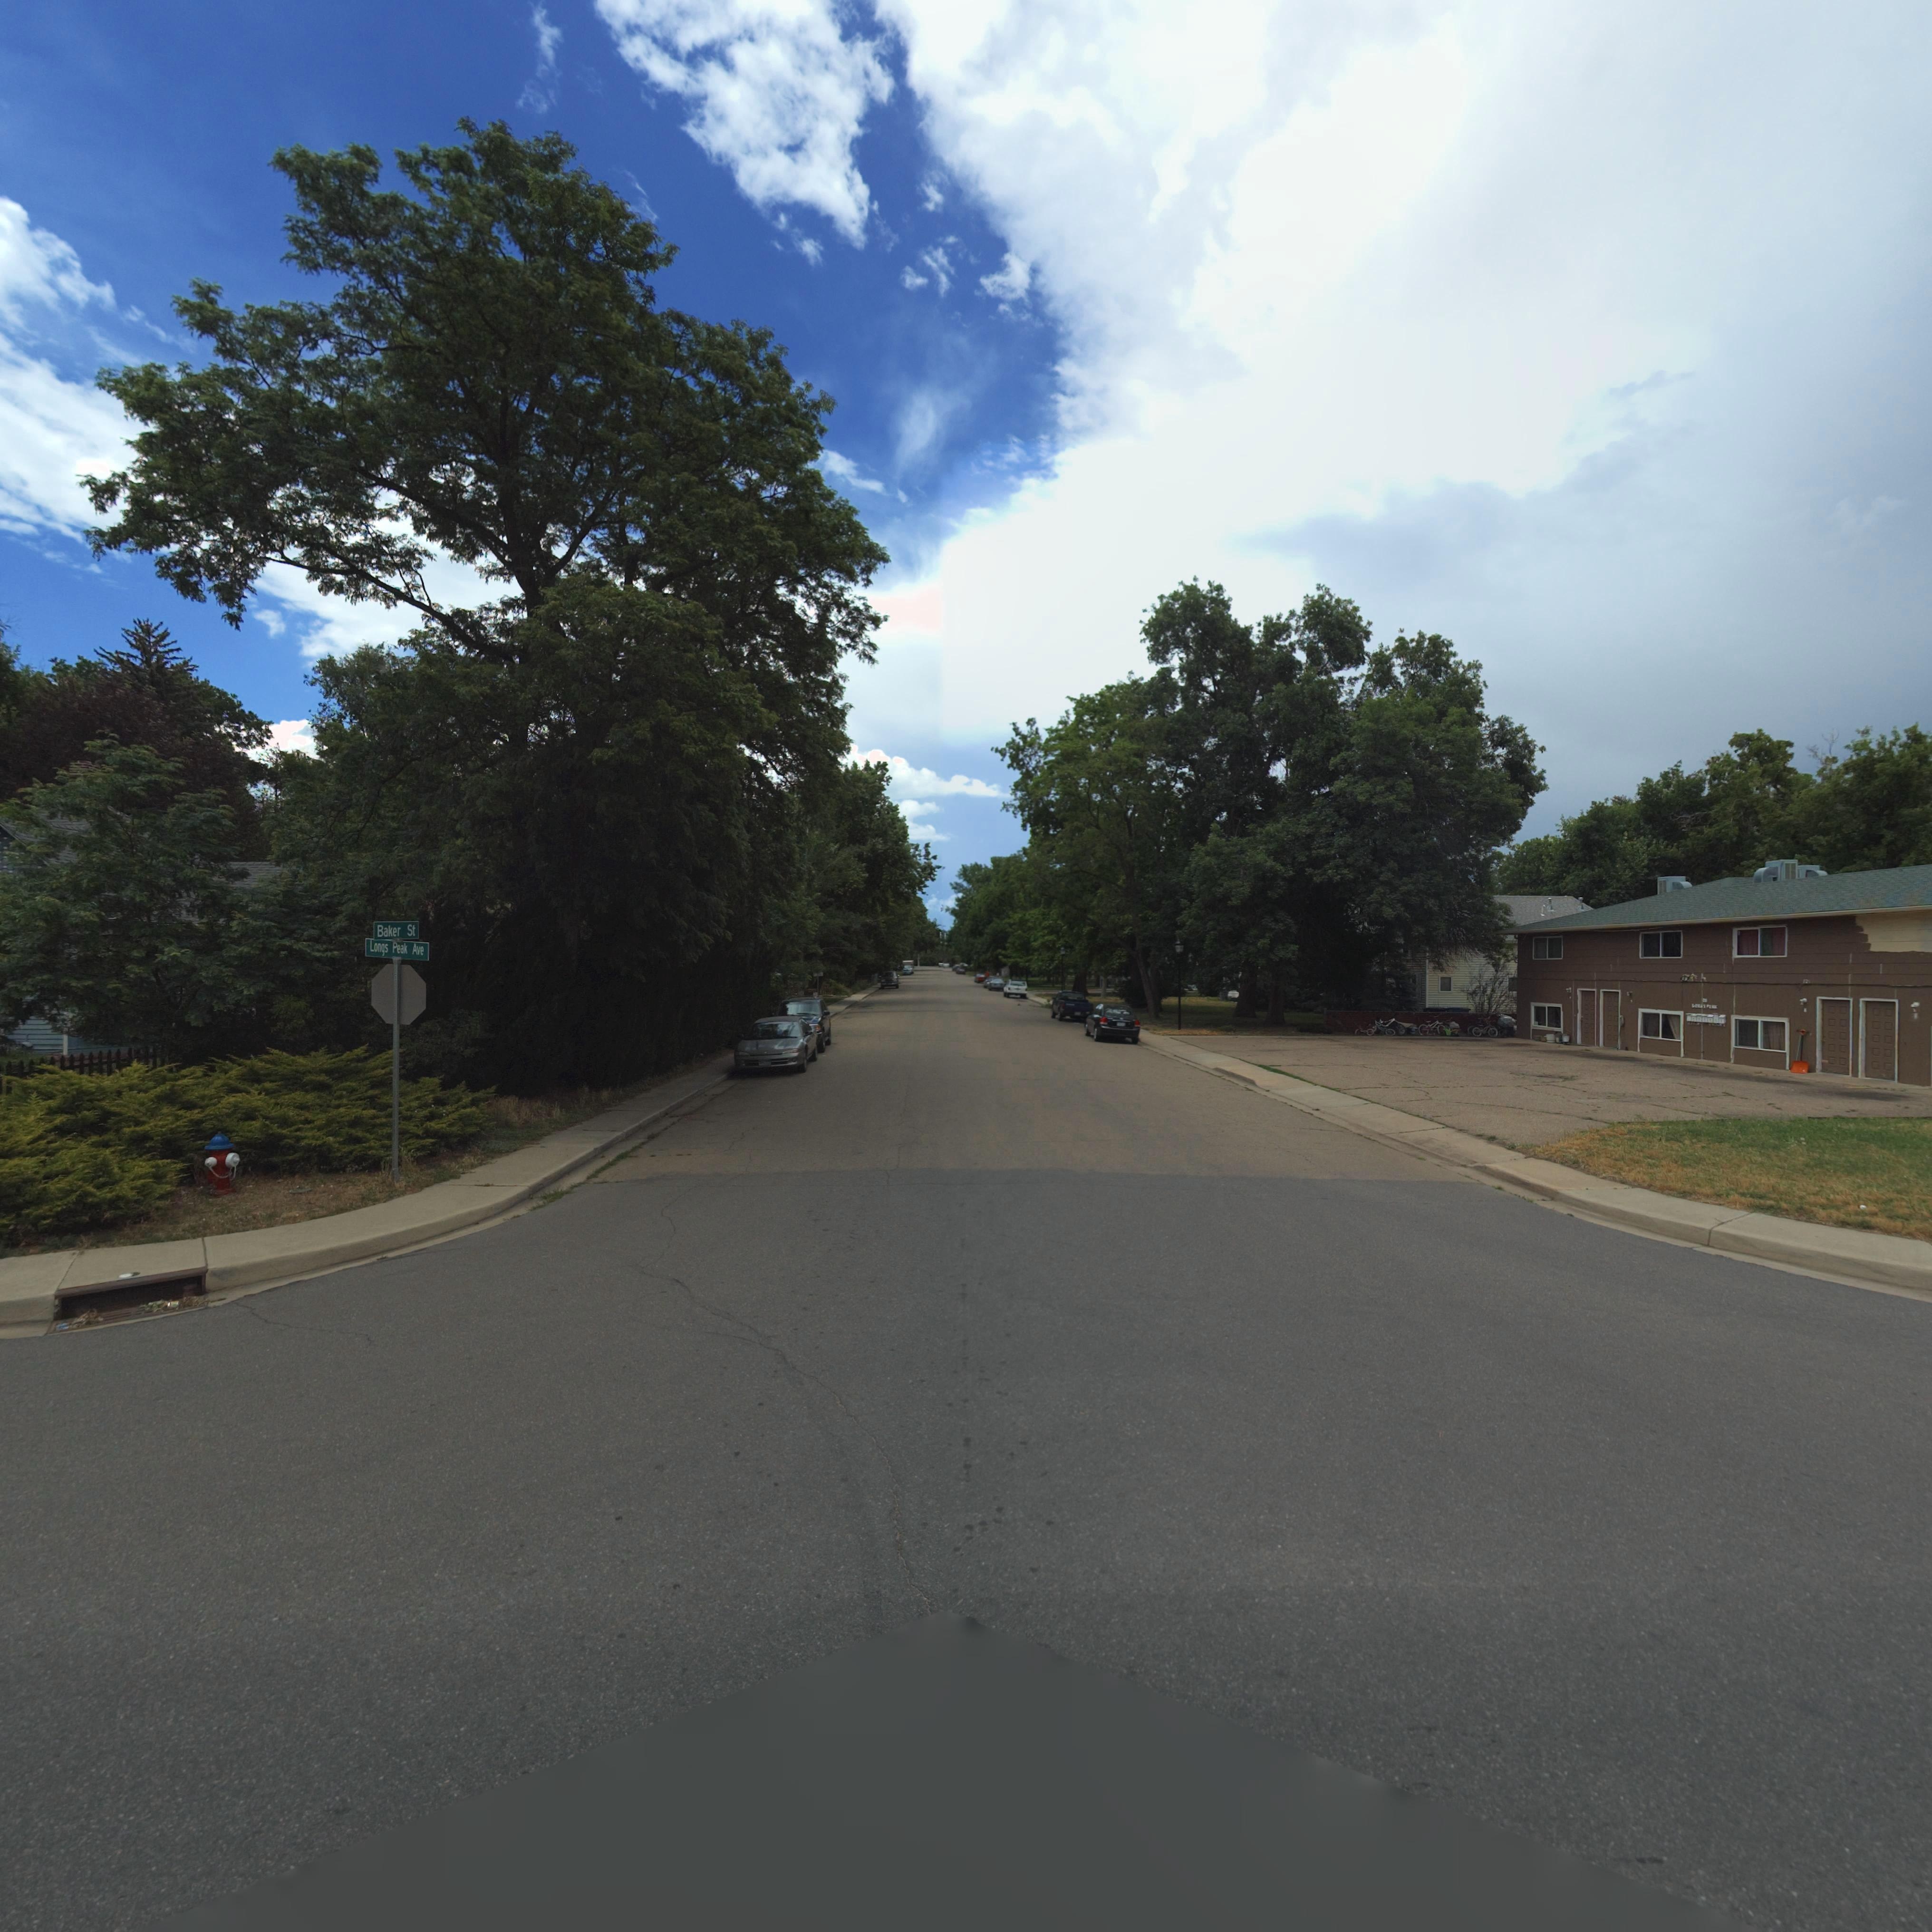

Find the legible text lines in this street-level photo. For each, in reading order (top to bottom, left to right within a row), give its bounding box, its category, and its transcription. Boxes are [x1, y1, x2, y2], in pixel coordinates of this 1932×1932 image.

[377, 924, 415, 937] StreetName: Baker St
[369, 939, 424, 956] StreetName: Longs Peak Ave
[1691, 1003, 1717, 1009] StreetName: LONGS PEAK
[1702, 998, 1707, 1002] StreetNumber: 2*